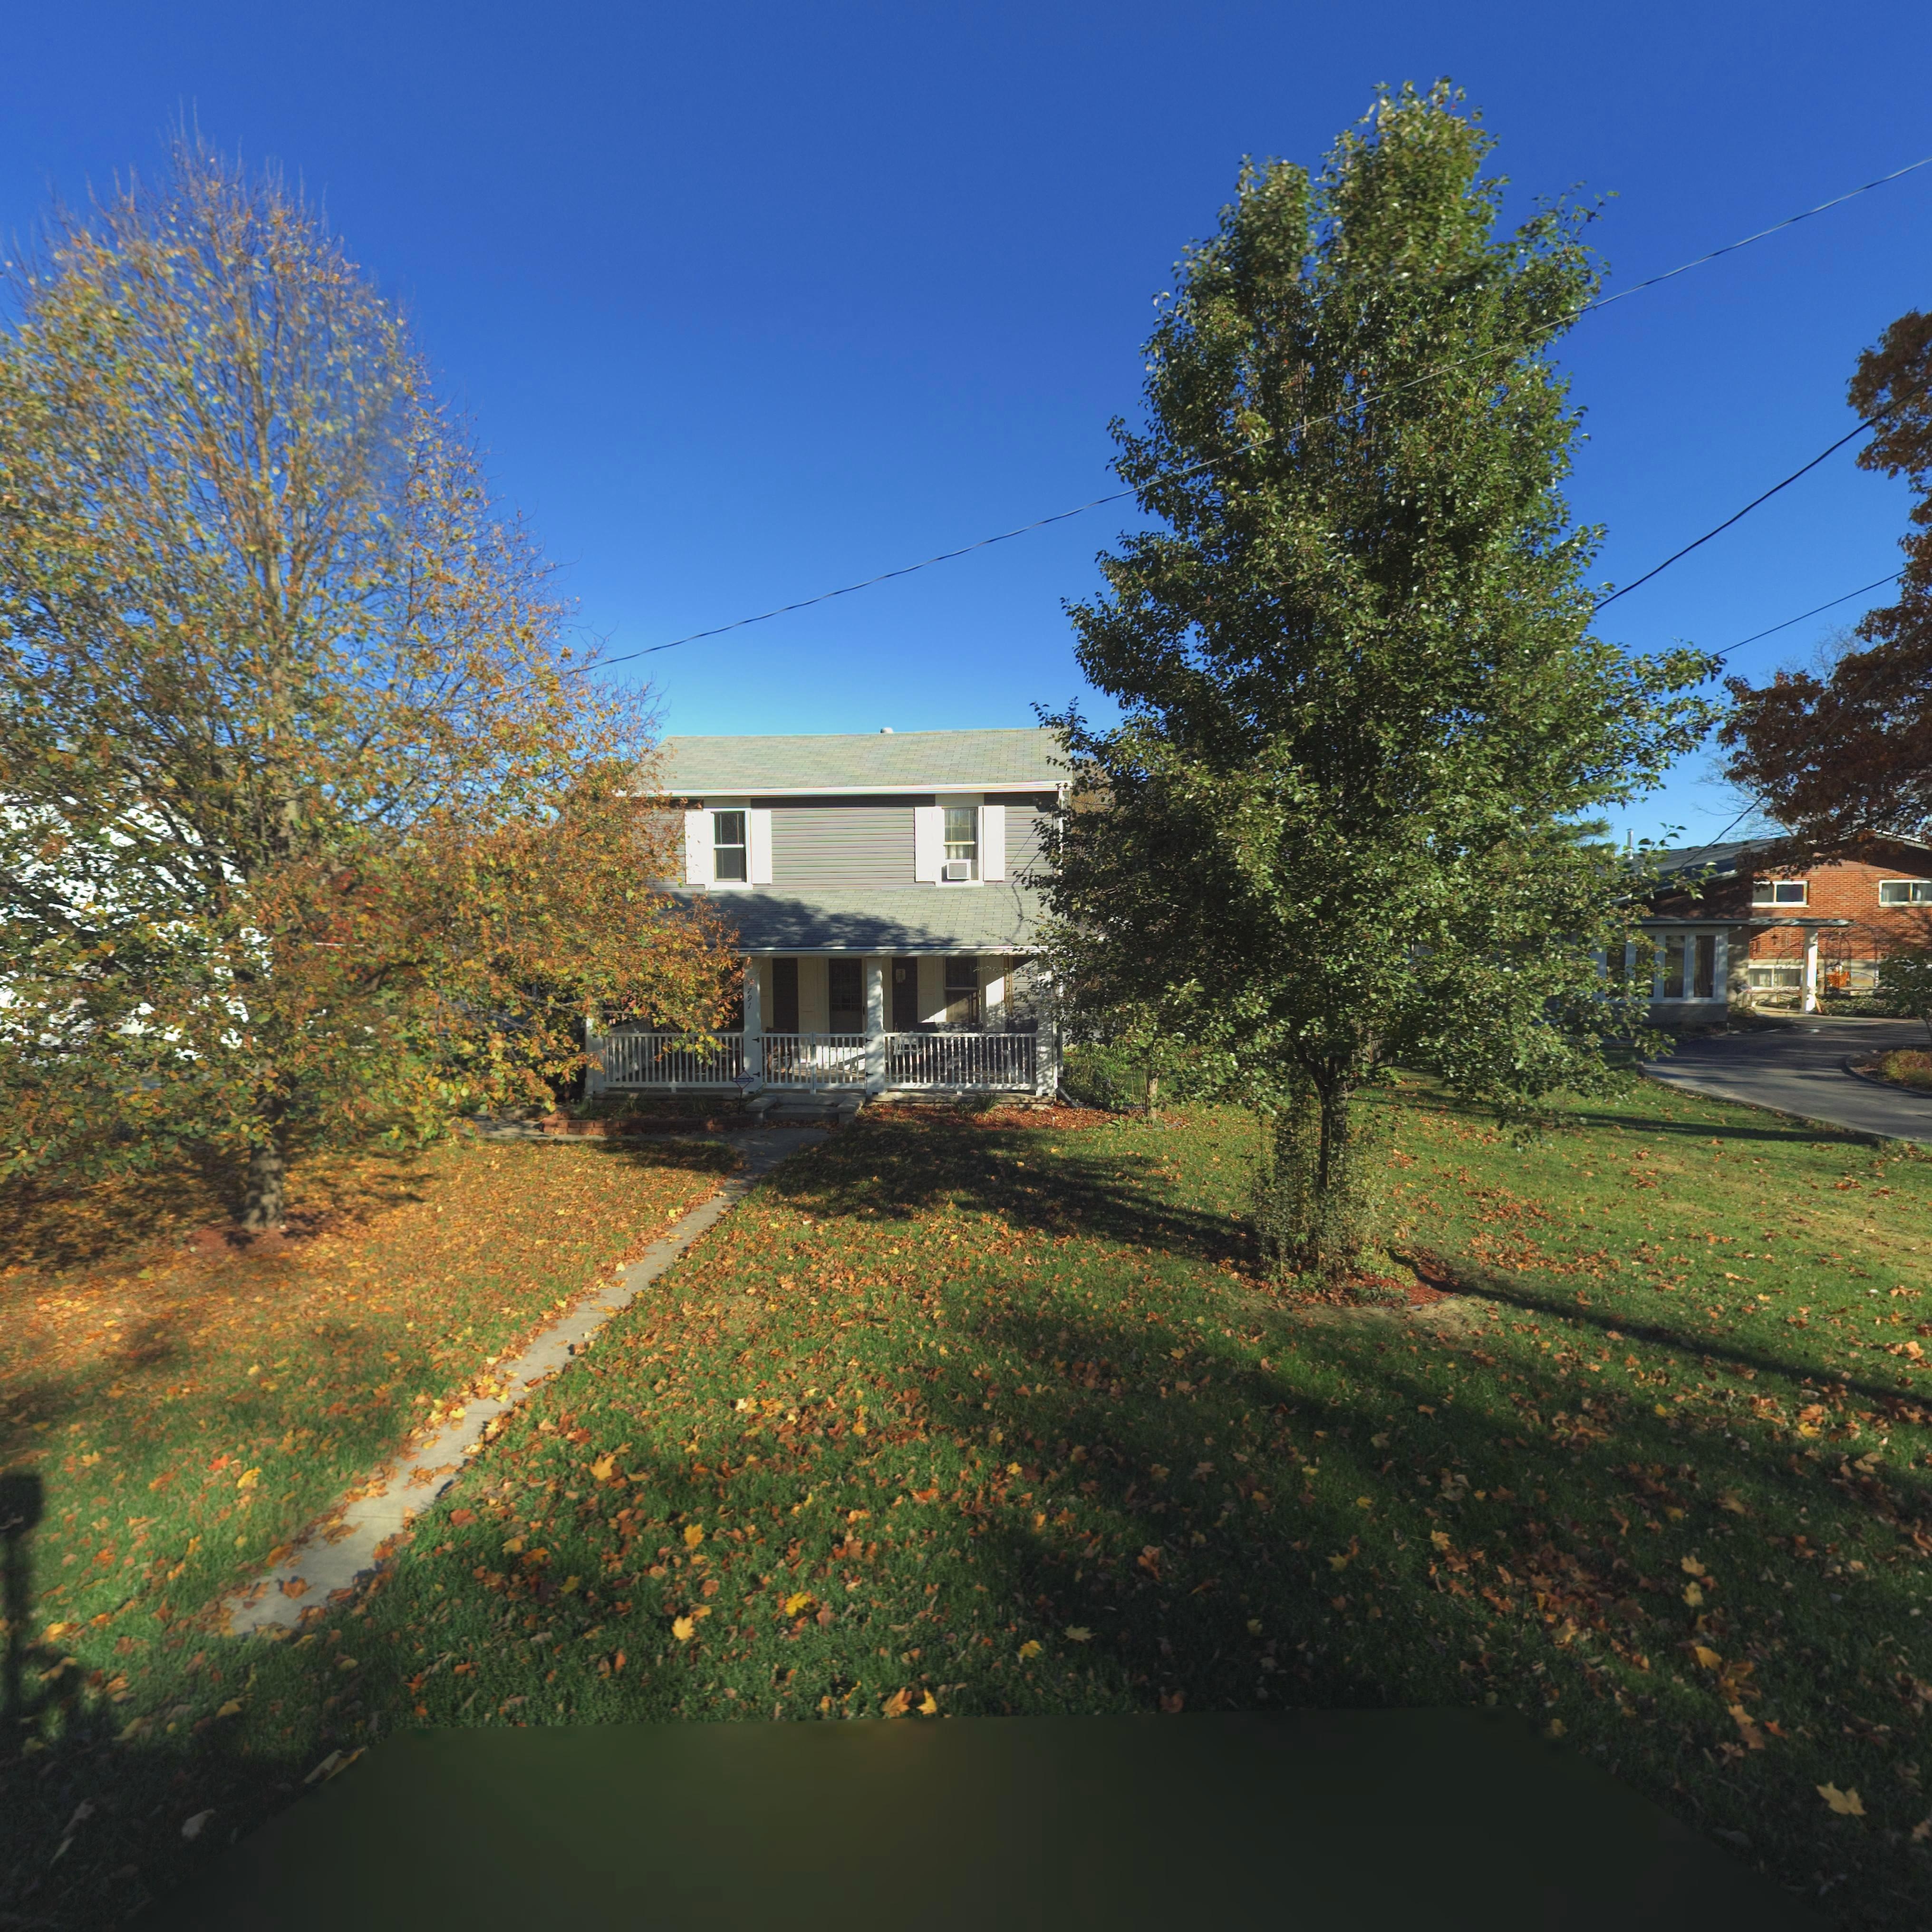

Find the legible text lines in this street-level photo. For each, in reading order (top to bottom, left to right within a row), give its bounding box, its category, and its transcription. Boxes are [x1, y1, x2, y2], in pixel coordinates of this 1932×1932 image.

[746, 987, 753, 1009] StreetNumber: 791